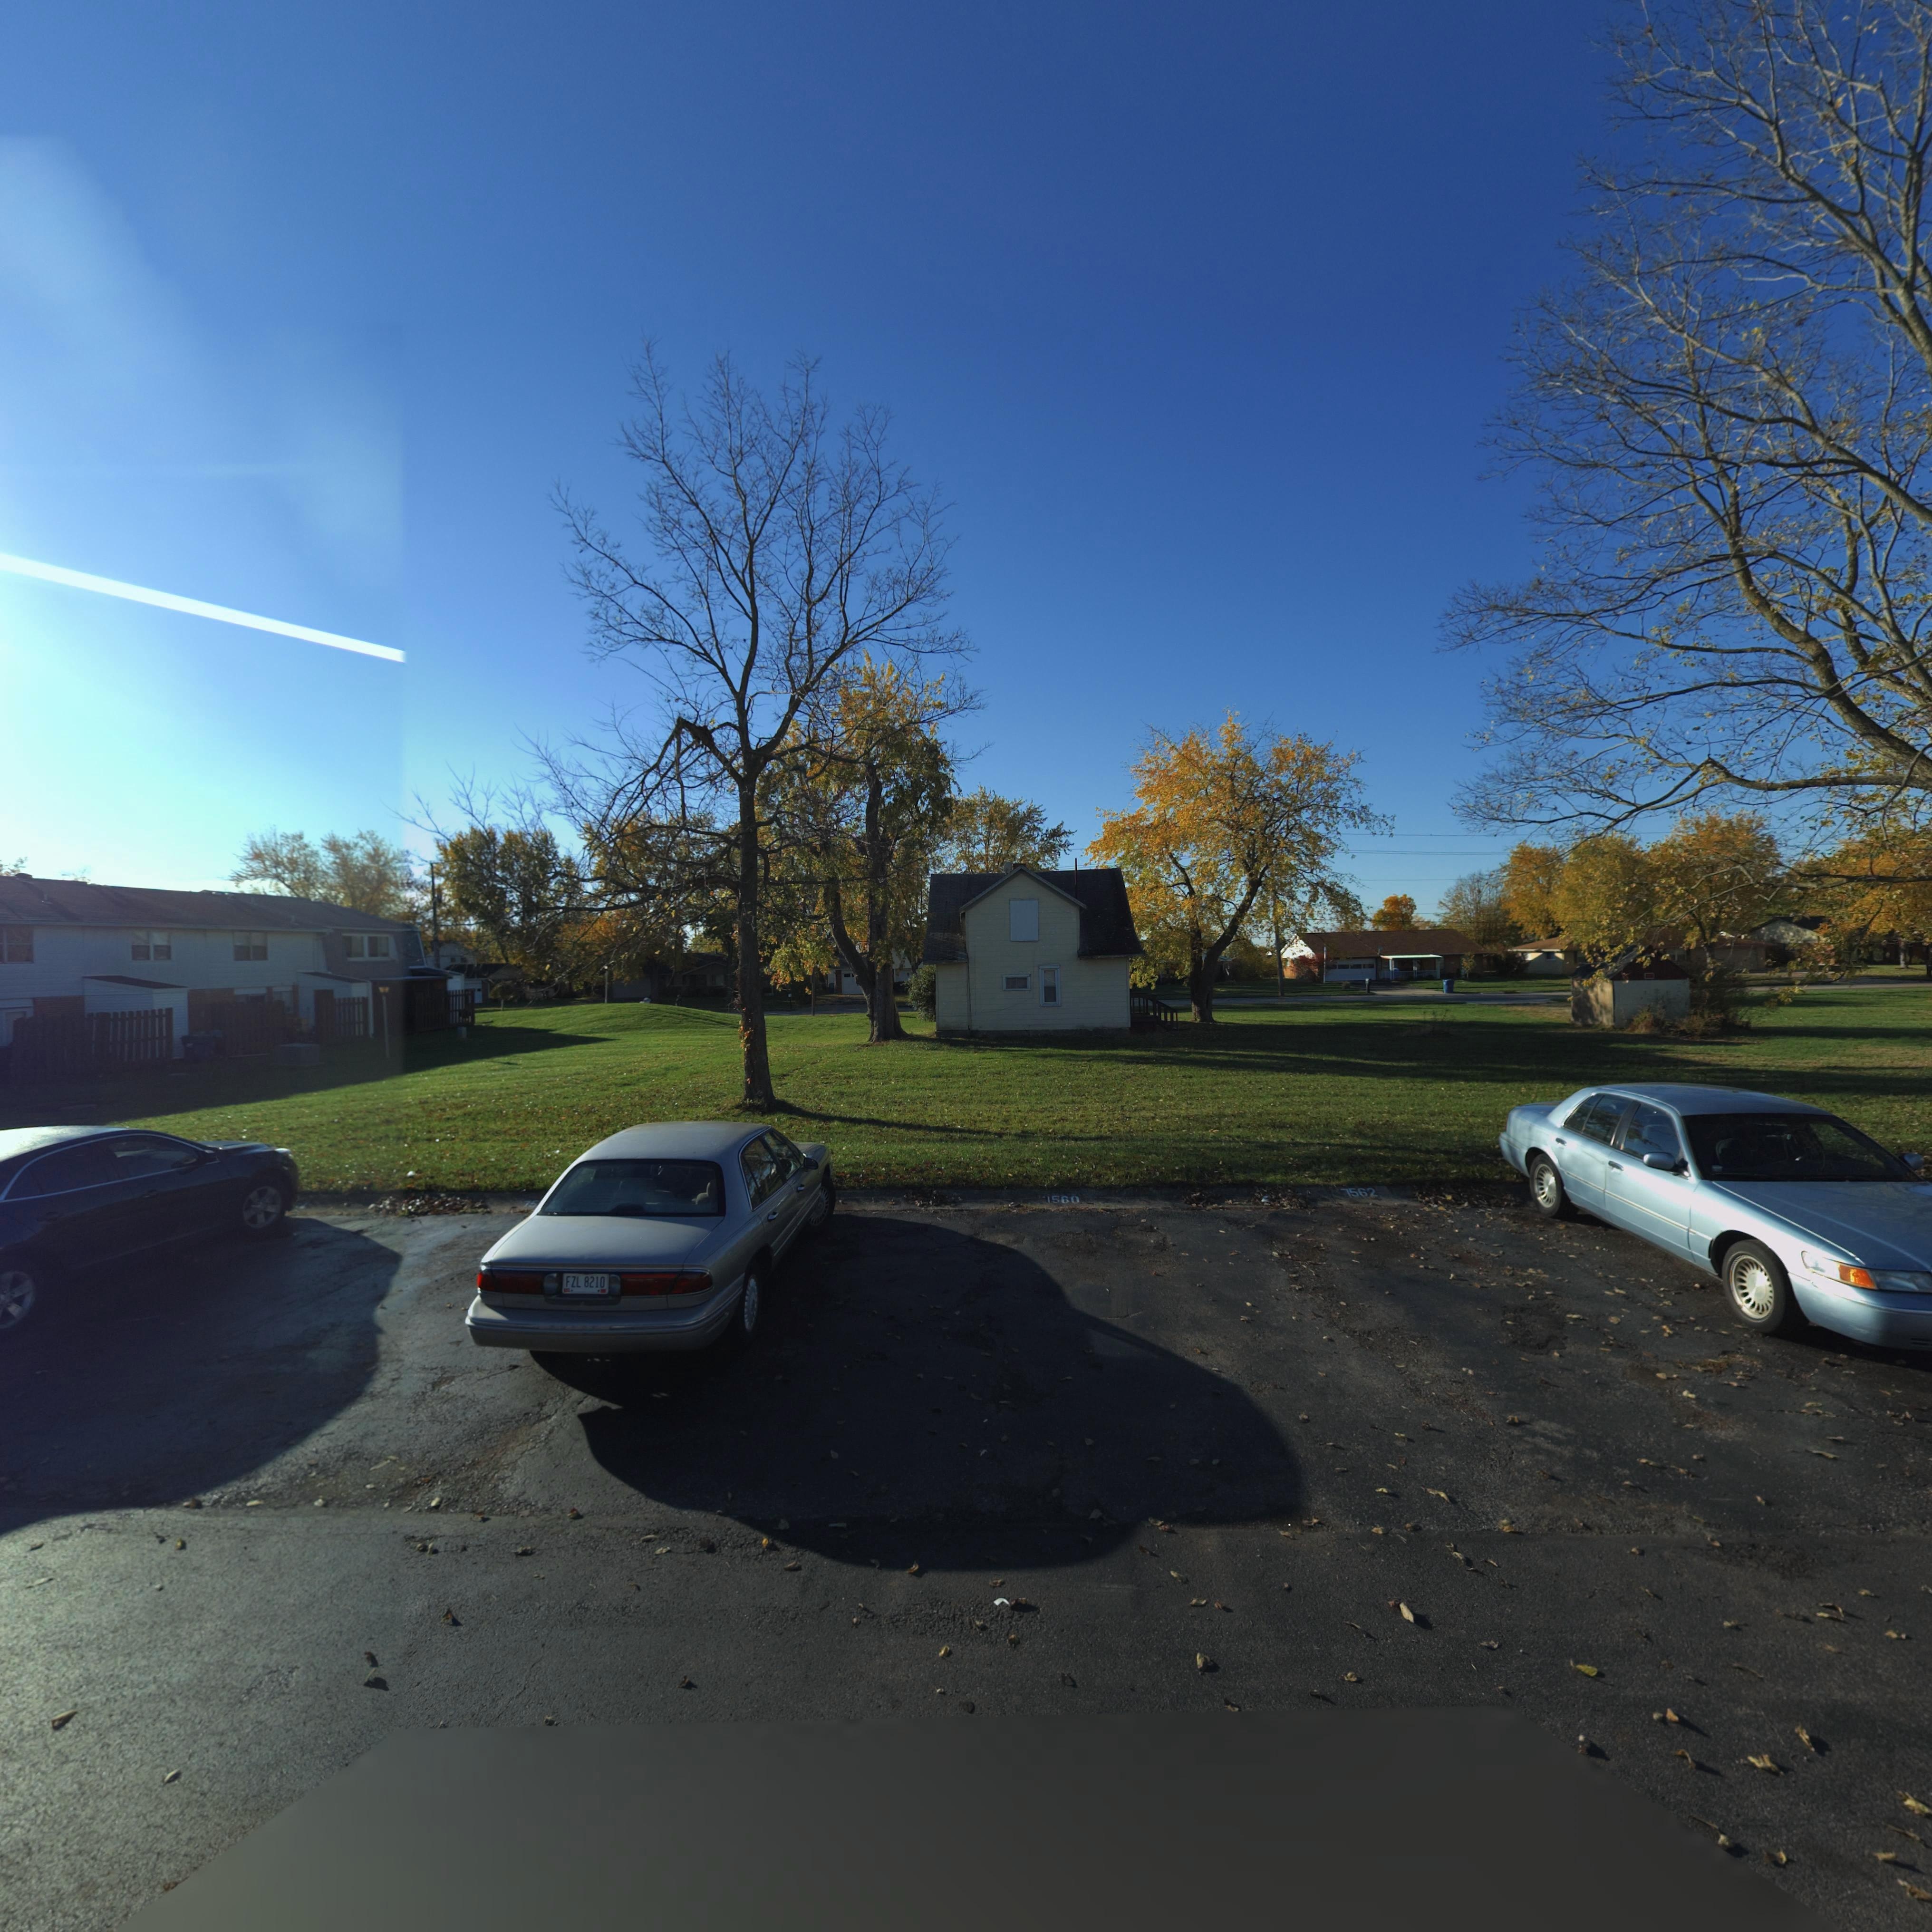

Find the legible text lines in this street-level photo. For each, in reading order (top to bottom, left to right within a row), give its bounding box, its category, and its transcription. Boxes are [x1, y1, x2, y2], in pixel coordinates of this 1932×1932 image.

[1338, 1186, 1379, 1199] StreetNumber: 7562
[522, 1199, 540, 1209] StreetNumber: 75
[1041, 1194, 1081, 1204] StreetNumber: *560
[564, 1274, 606, 1289] None: FZL 8210